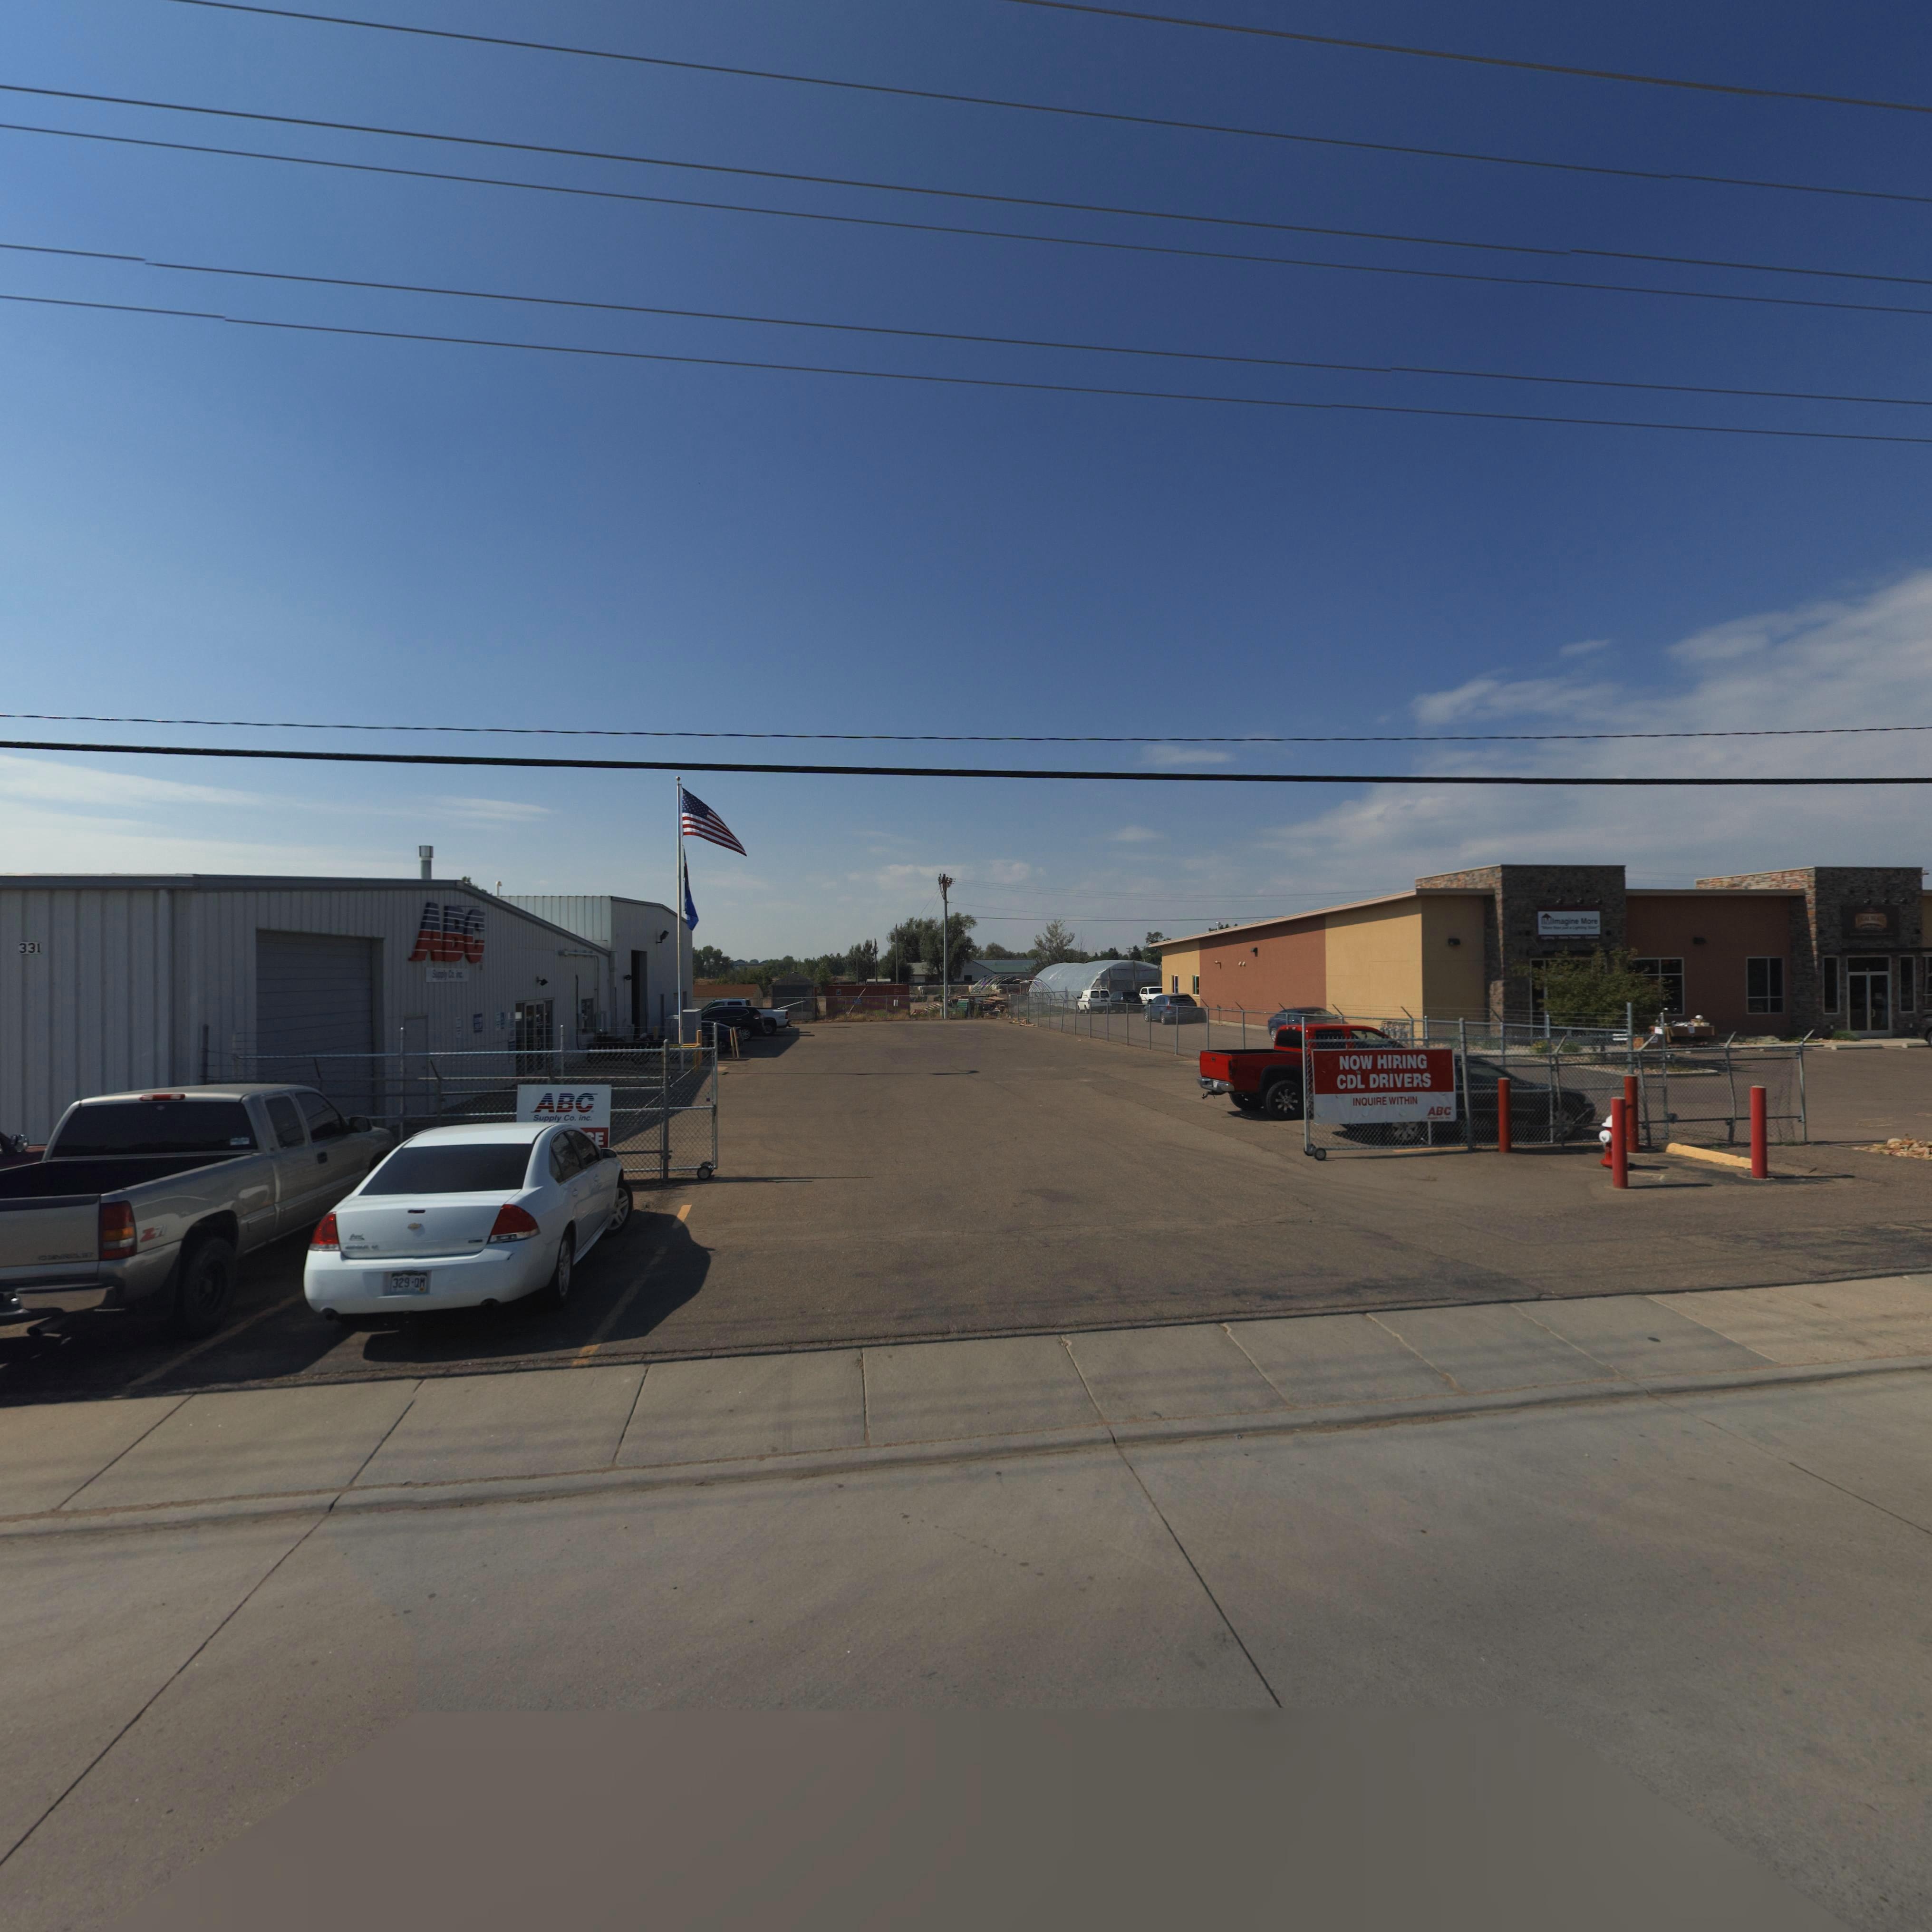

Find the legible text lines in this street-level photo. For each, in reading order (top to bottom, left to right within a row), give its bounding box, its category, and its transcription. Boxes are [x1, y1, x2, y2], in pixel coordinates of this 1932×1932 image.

[1541, 917, 1551, 925] BusinessName: IM
[1552, 917, 1598, 926] BusinessName: Imagine More
[1856, 915, 1886, 925] BusinessName: REAL DEA**
[406, 900, 485, 964] BusinessName: ABC
[19, 942, 41, 953] StreetNumber: 331
[529, 1092, 598, 1113] BusinessName: ABC